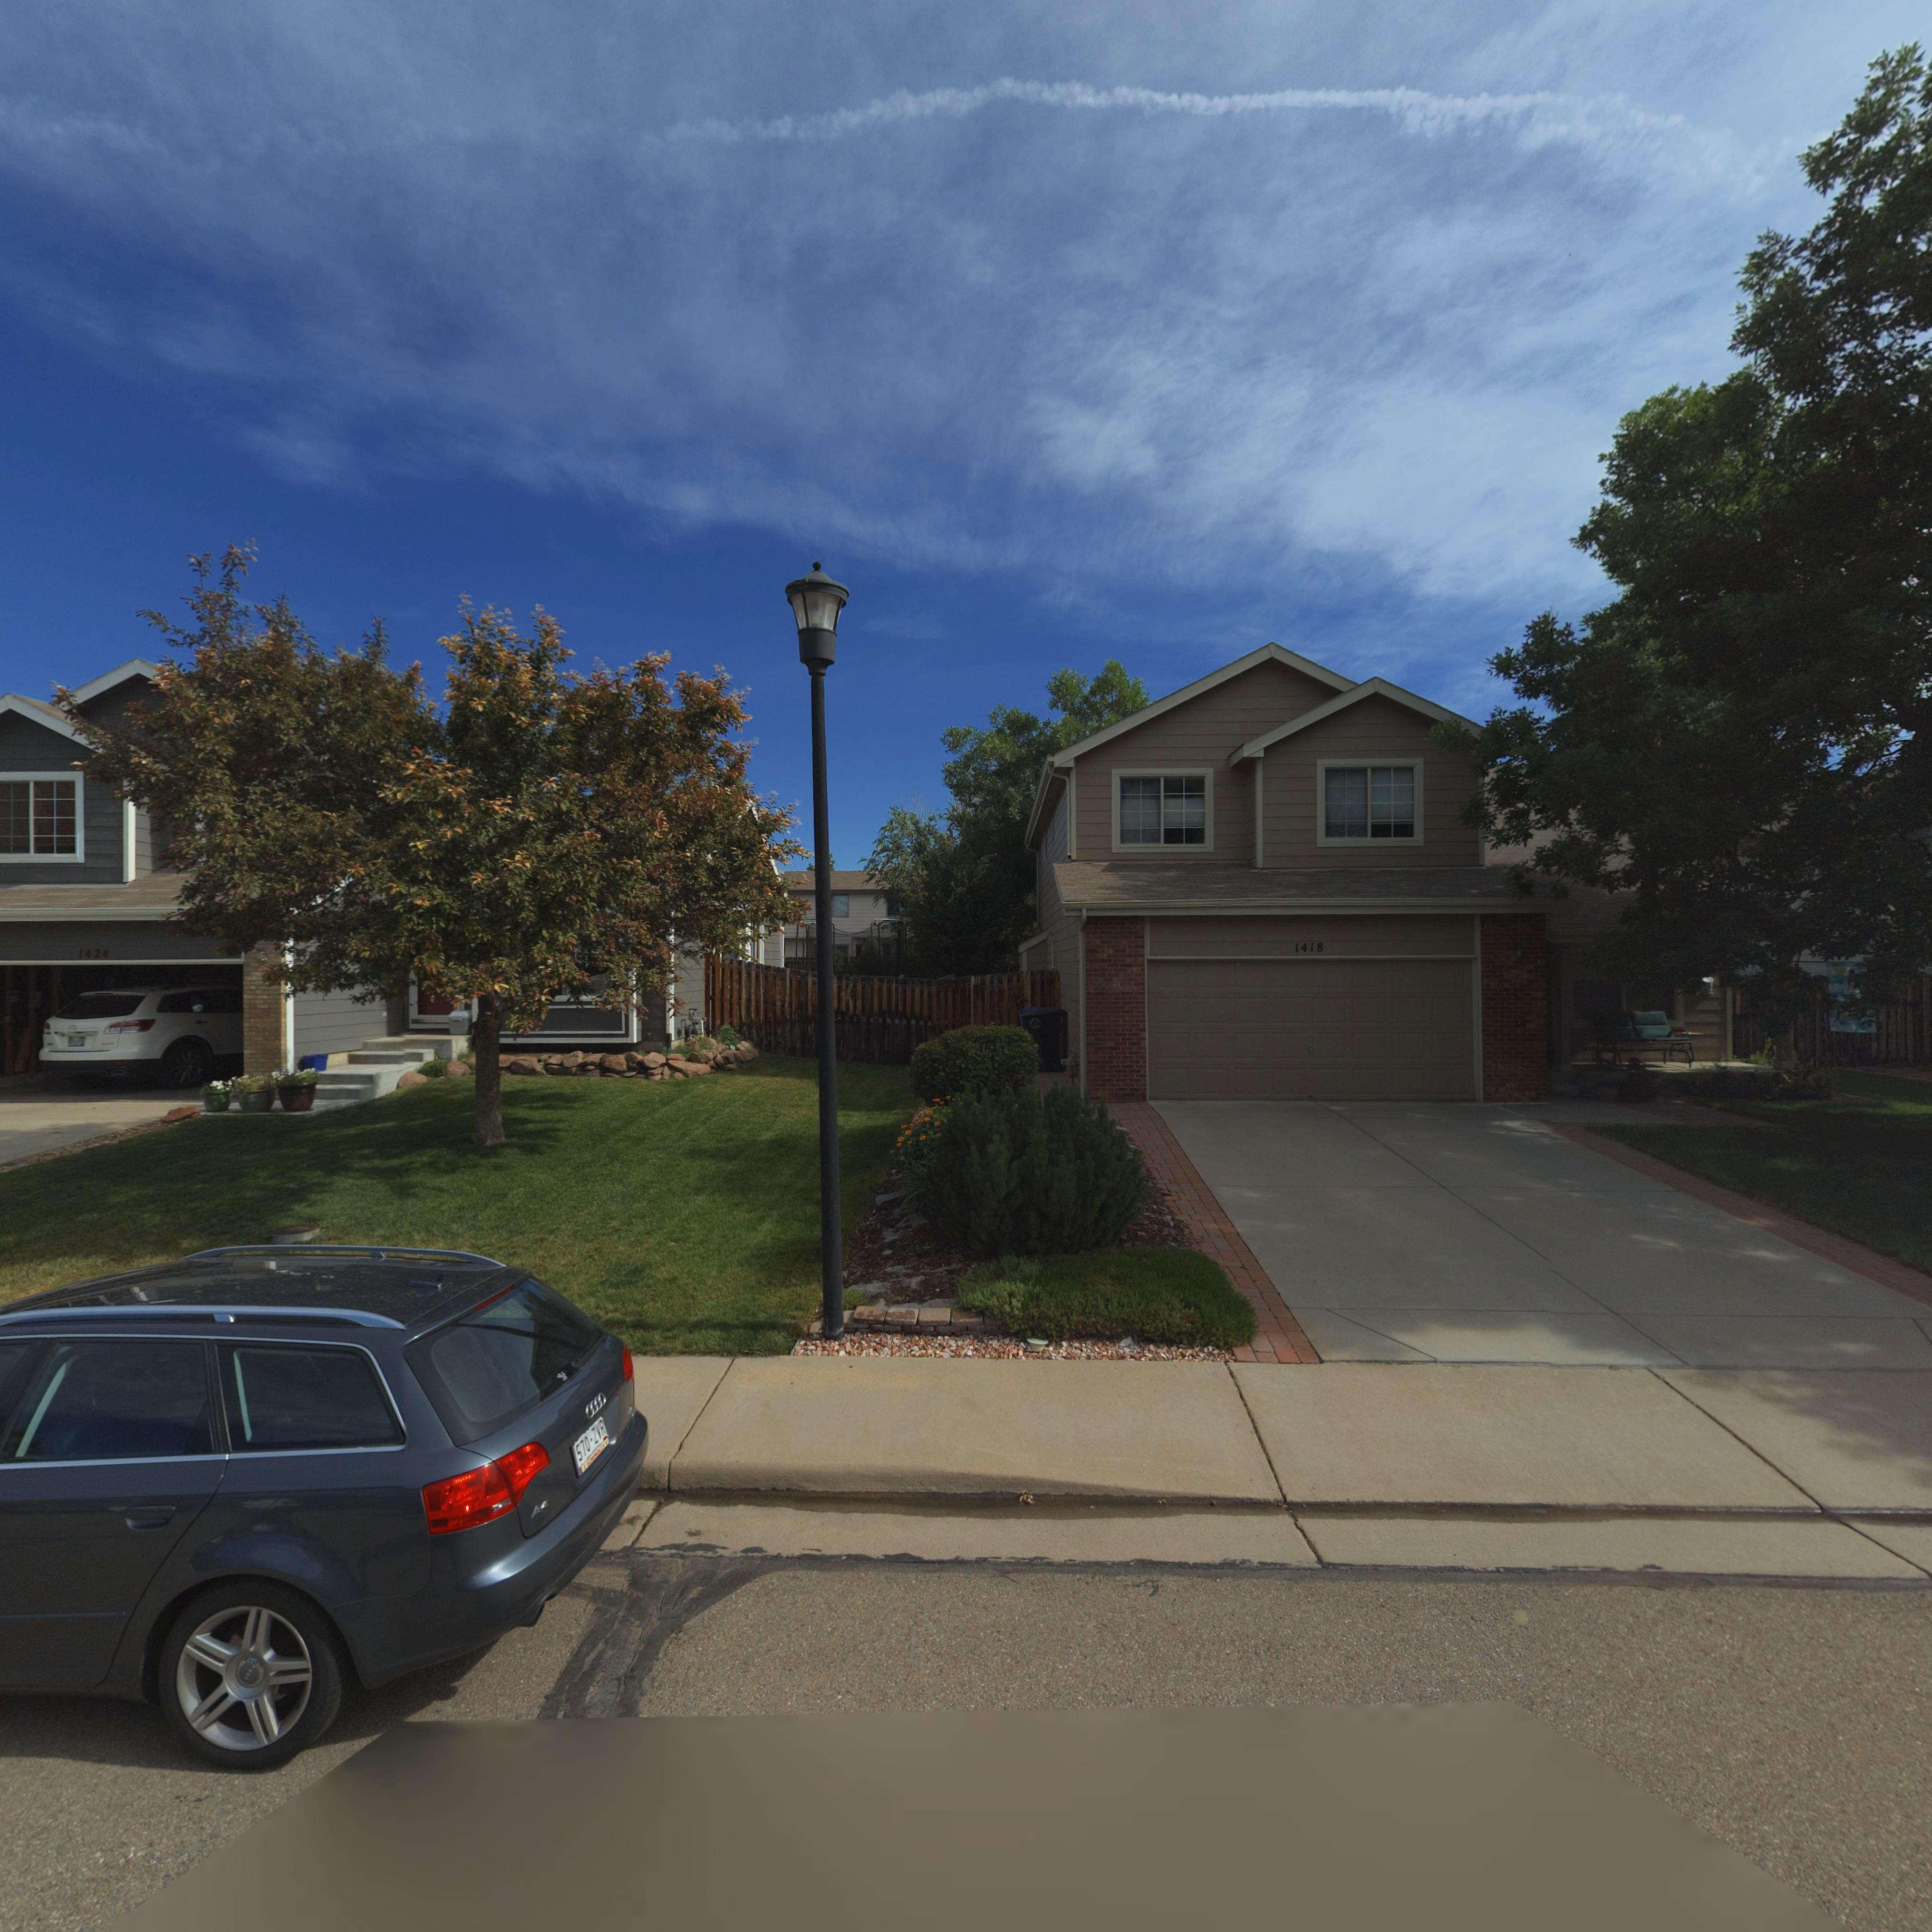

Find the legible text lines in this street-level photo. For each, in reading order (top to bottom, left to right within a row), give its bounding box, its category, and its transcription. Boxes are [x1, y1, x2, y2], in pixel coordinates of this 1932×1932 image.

[1294, 941, 1323, 953] StreetNumber: 1418
[78, 948, 109, 959] StreetNumber: 1424